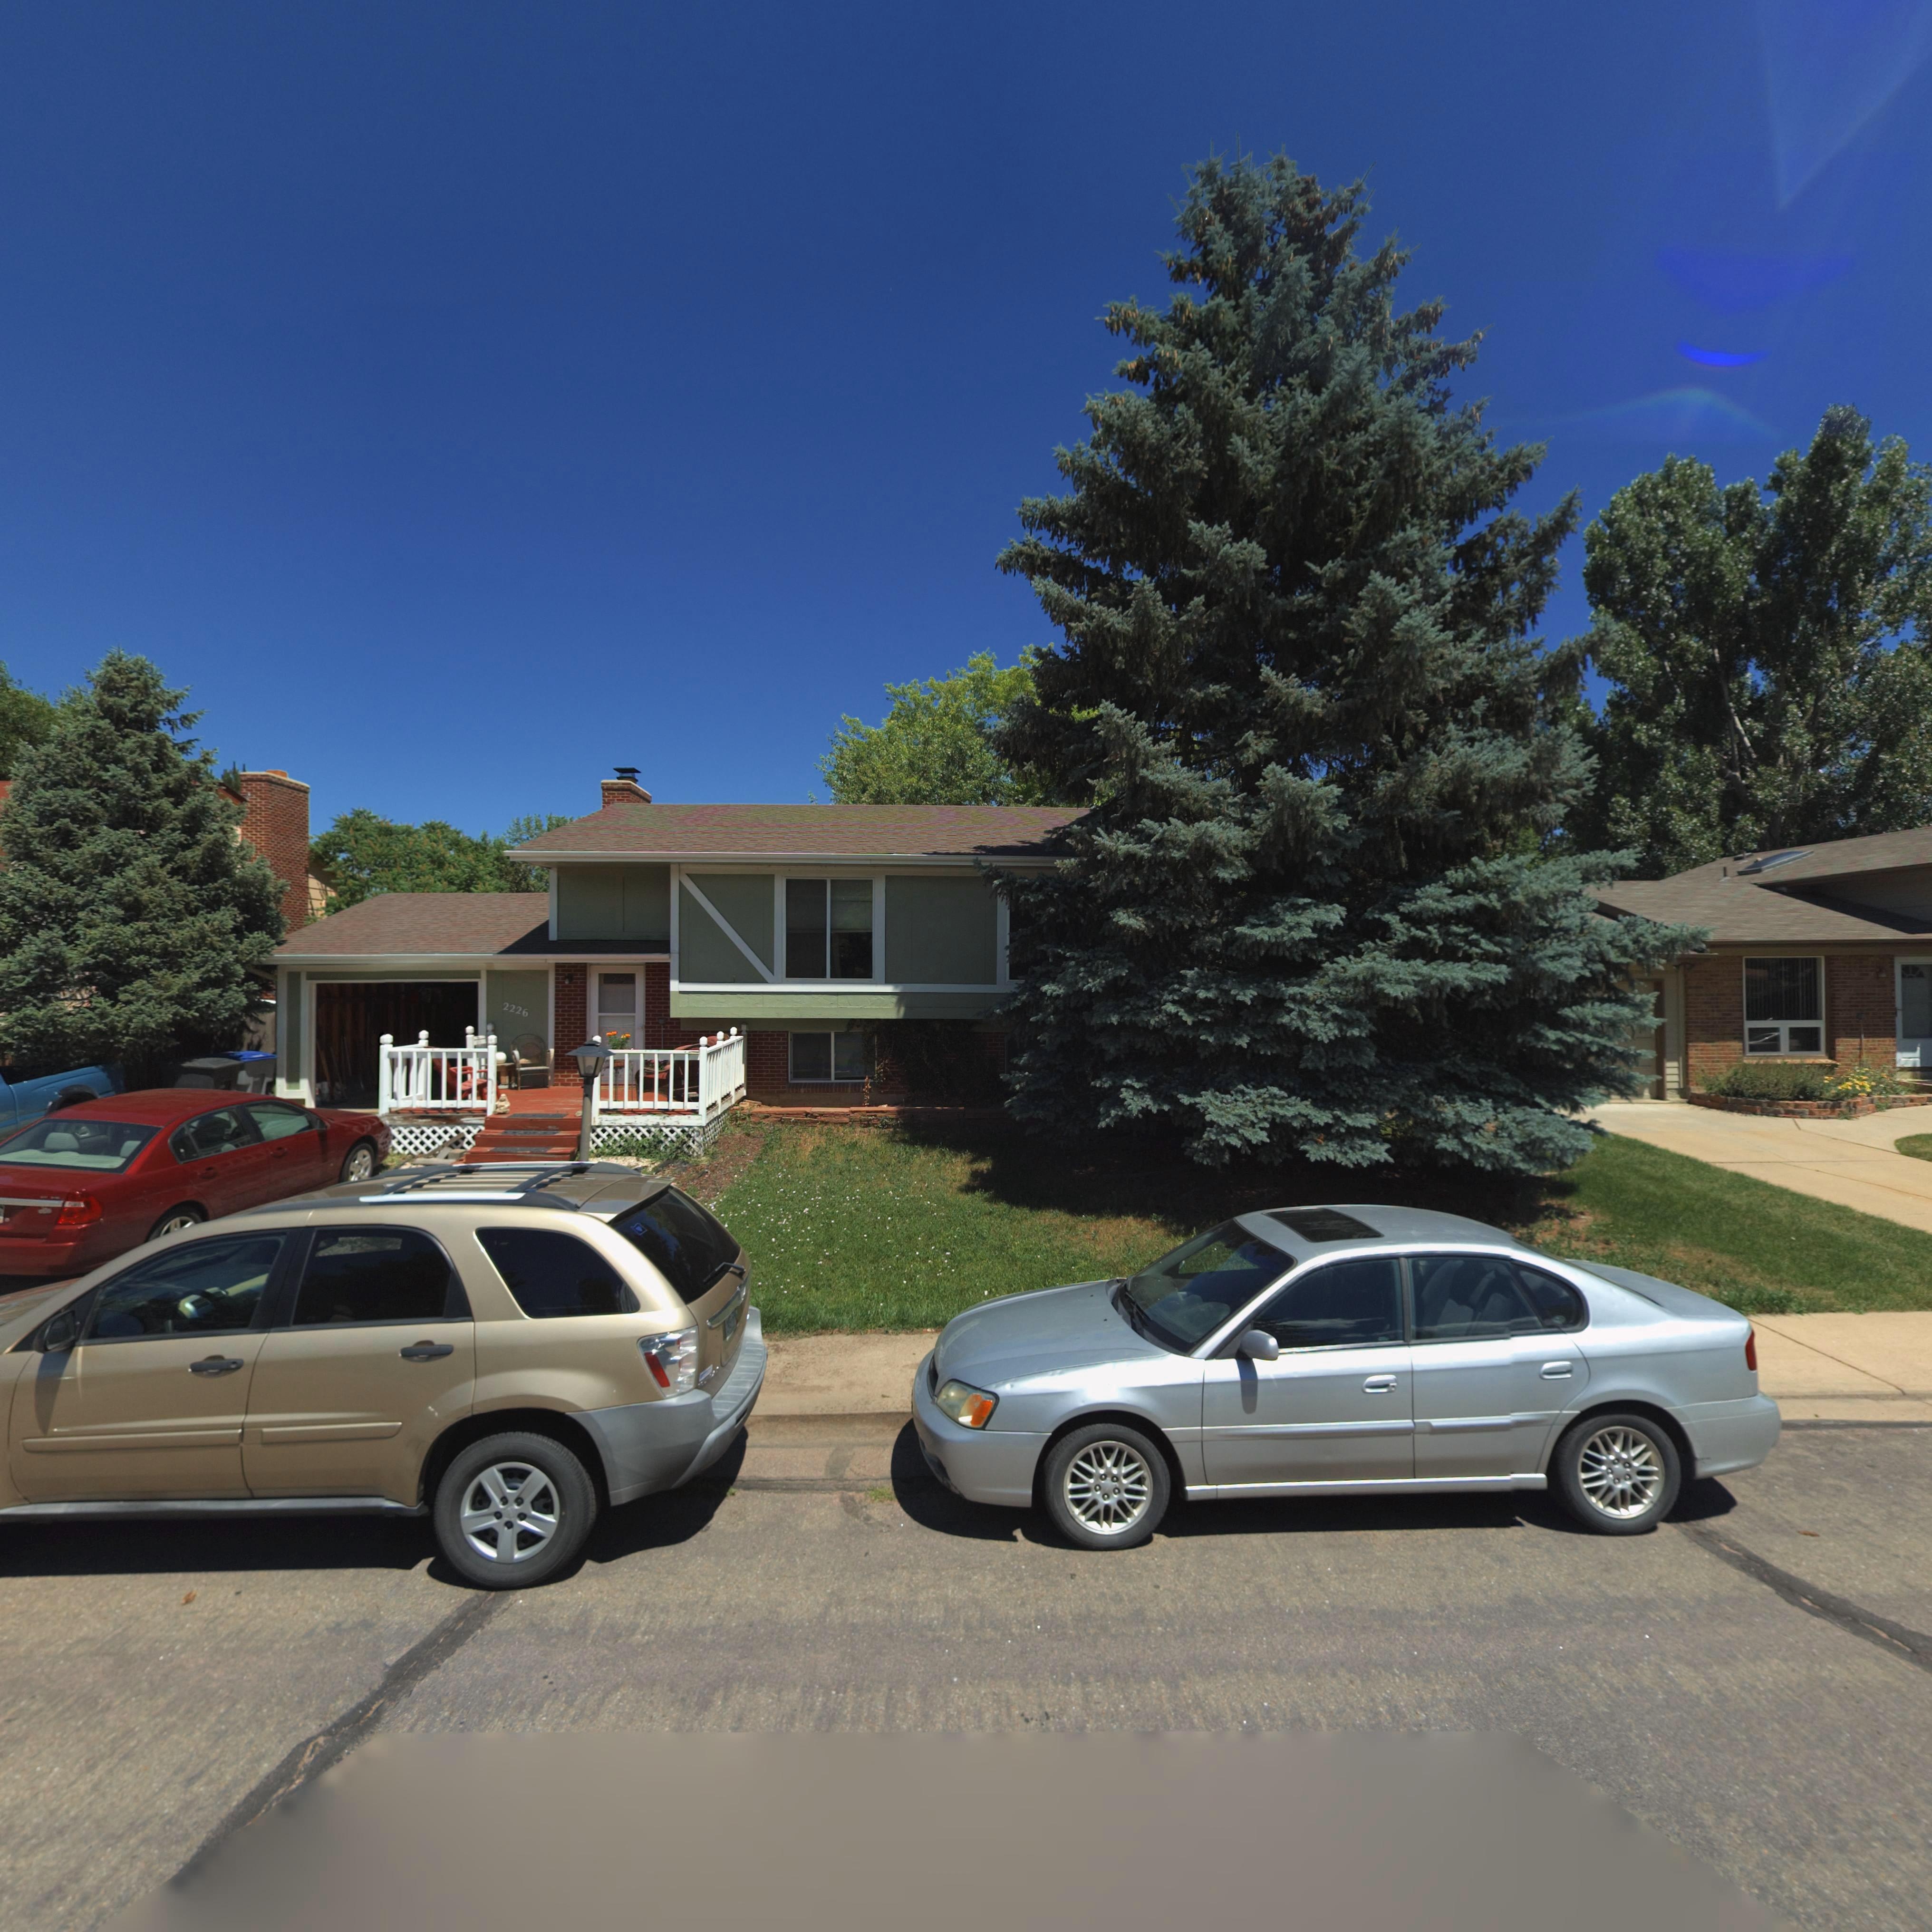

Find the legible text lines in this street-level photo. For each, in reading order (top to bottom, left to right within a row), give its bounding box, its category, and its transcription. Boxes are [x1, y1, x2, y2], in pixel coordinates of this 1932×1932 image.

[502, 1002, 529, 1017] StreetNumber: 2226